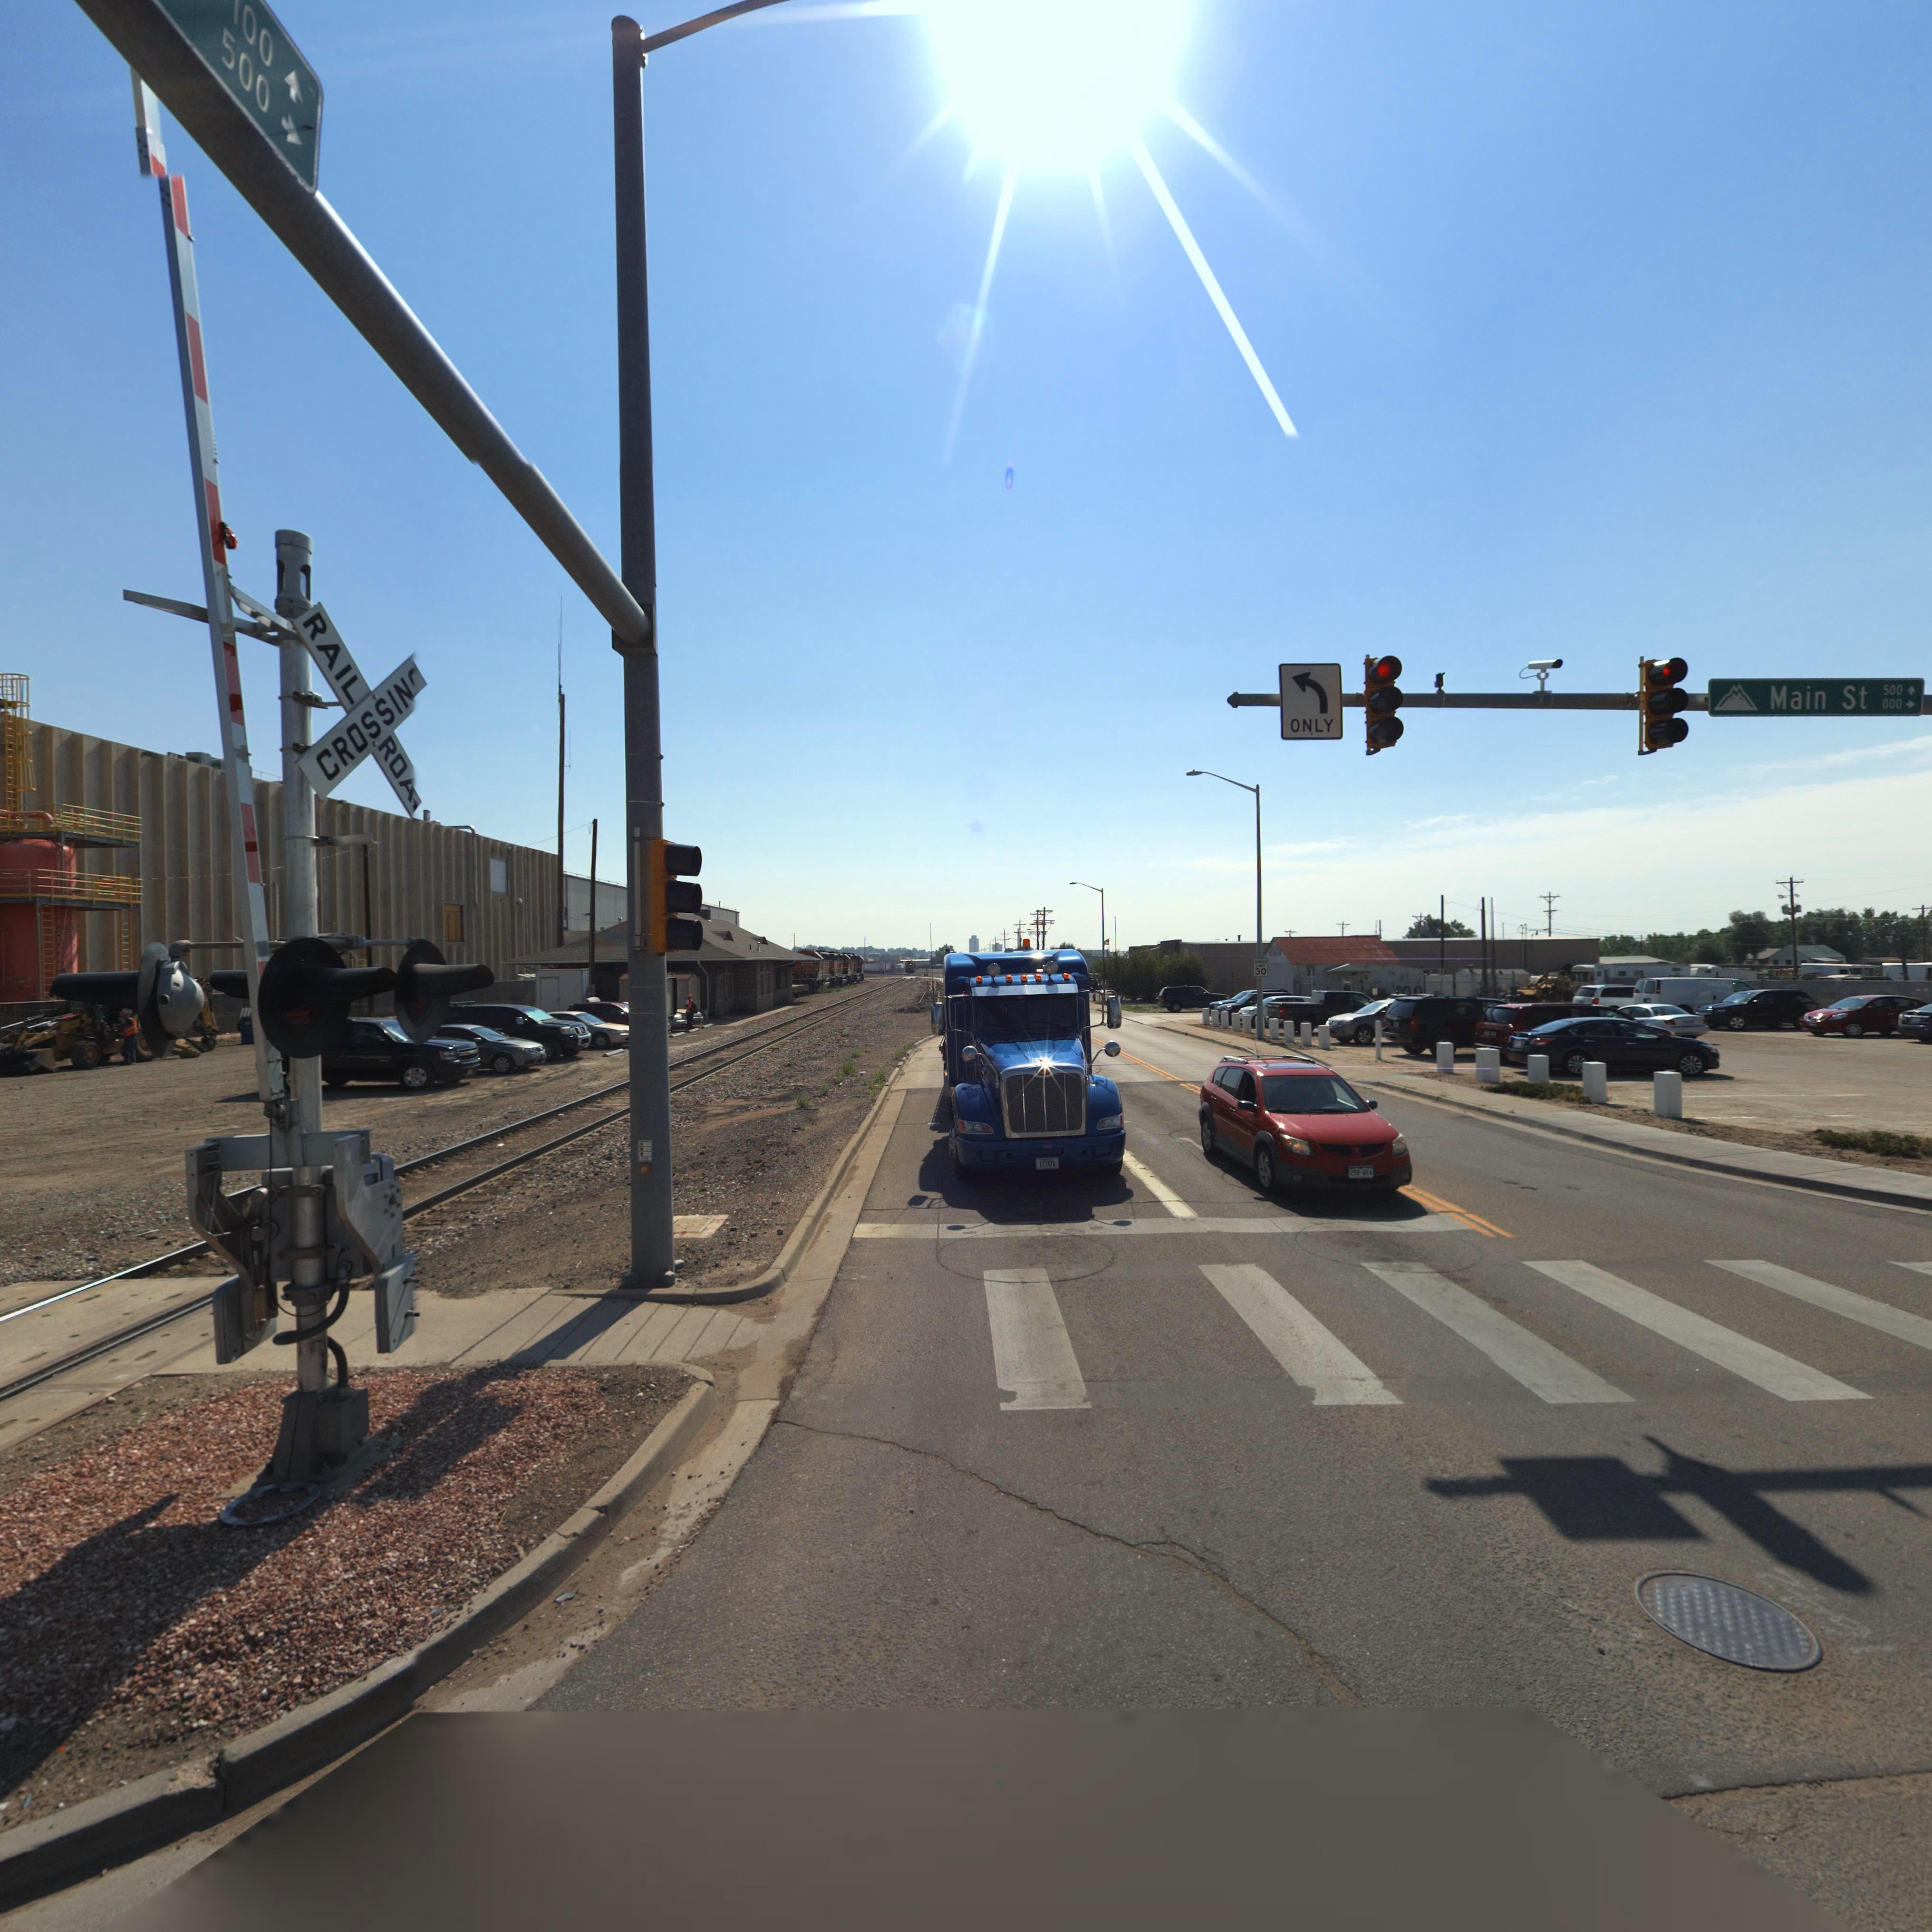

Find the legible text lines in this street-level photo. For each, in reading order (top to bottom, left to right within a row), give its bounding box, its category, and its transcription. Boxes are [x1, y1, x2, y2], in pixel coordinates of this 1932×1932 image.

[231, 1, 275, 70] StreetNumberRange: 100
[219, 26, 305, 147] StreetNumberRange: 500 ->
[1769, 684, 1868, 712] StreetName: Main St
[1883, 684, 1903, 696] StreetNumberRange: 500
[1882, 698, 1915, 709] StreetNumberRange: 000 ->